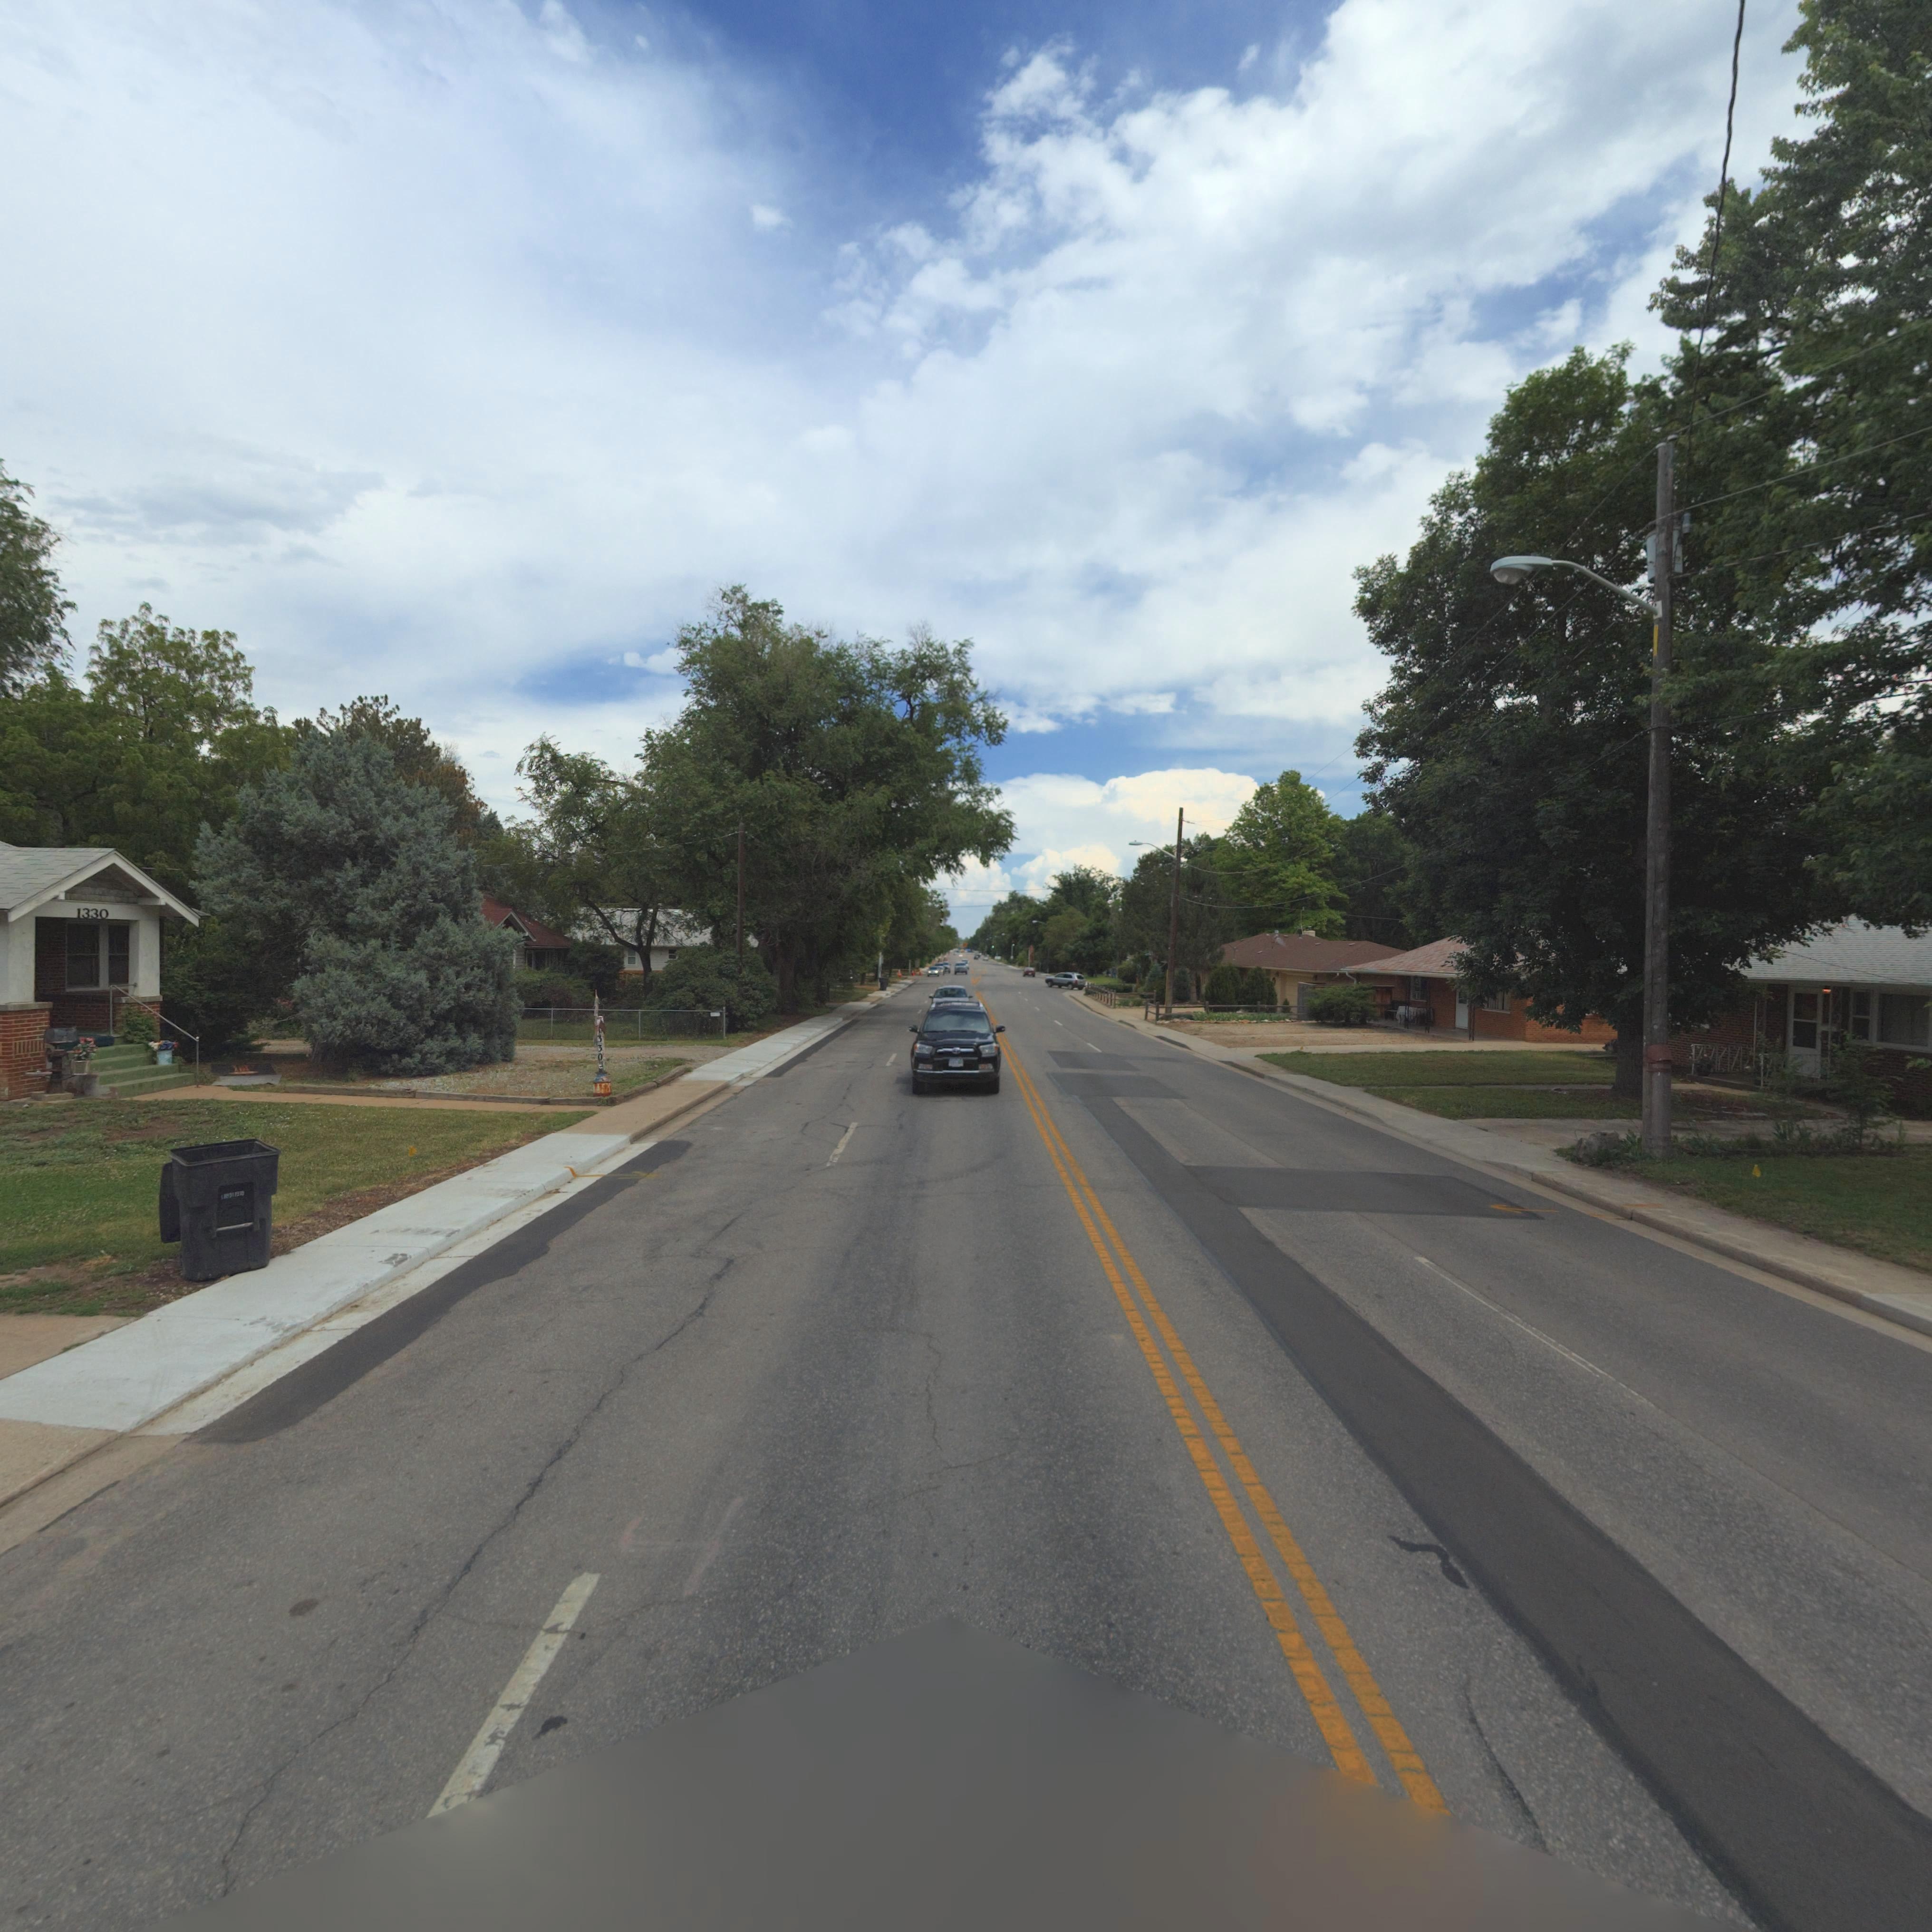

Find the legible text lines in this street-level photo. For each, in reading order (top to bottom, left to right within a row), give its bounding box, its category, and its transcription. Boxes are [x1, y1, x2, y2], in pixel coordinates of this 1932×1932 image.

[77, 907, 109, 919] StreetNumber: 1330
[596, 1025, 603, 1061] StreetNumber: *330